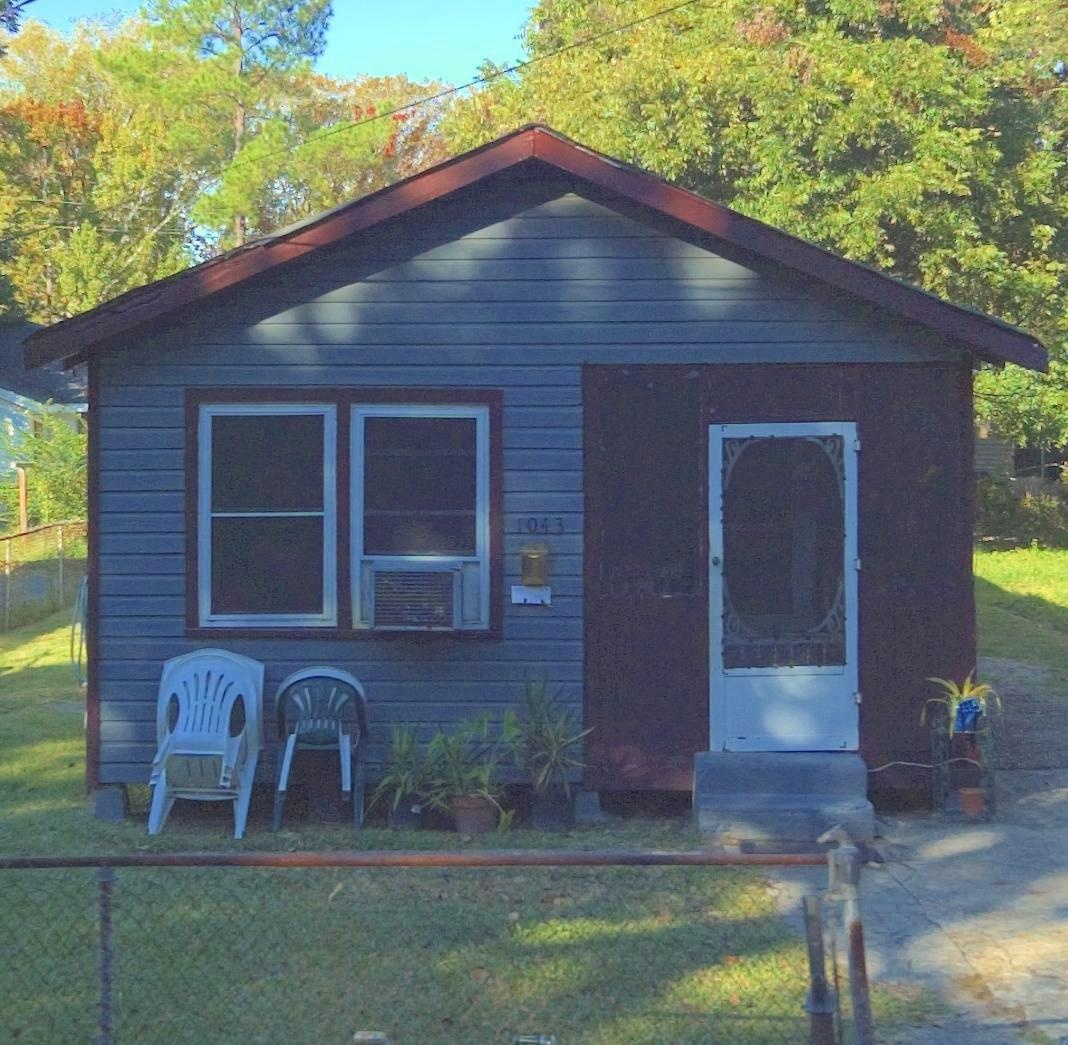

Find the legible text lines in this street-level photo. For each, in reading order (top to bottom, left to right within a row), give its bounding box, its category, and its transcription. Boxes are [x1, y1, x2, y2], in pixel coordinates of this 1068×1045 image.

[516, 515, 567, 536] StreetNumber: 1043